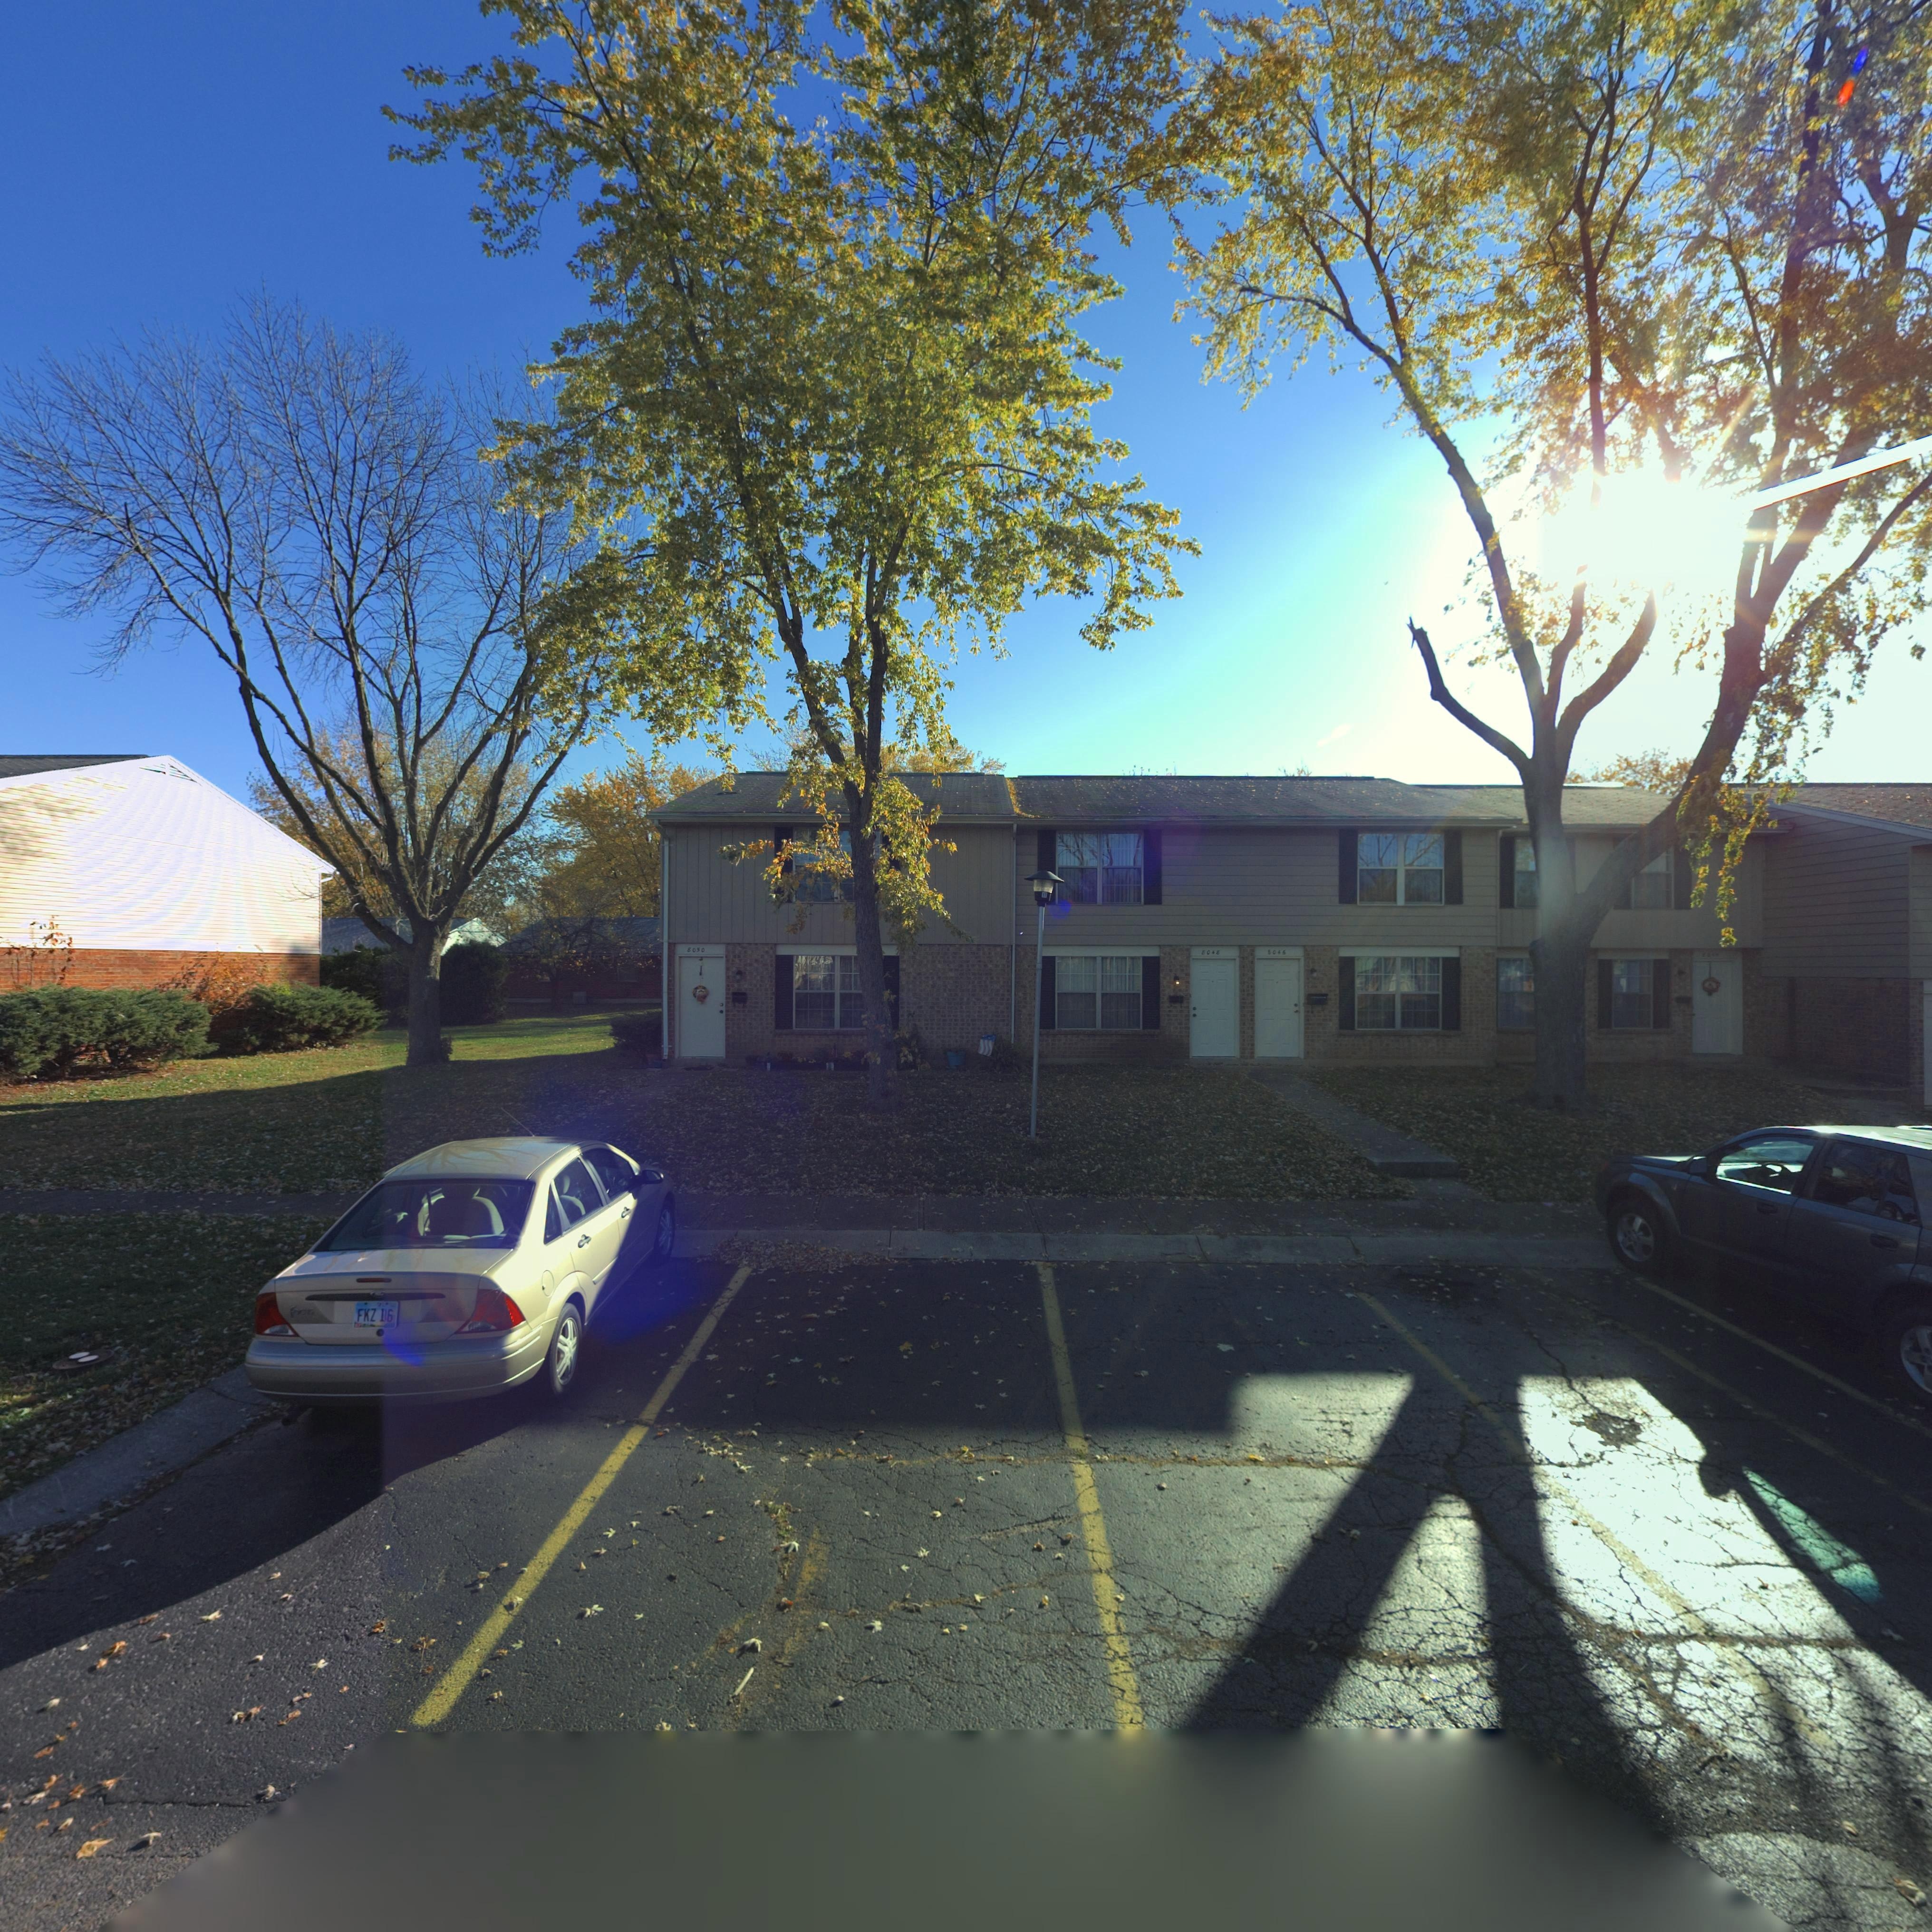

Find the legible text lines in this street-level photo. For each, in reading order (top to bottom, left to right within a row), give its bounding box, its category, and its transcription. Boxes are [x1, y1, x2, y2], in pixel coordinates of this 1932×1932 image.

[686, 947, 705, 953] StreetNumber: 8050
[1200, 949, 1220, 955] StreetNumber: 8048
[1267, 949, 1286, 955] StreetNumber: 8046
[1701, 952, 1711, 958] StreetNumber: 80